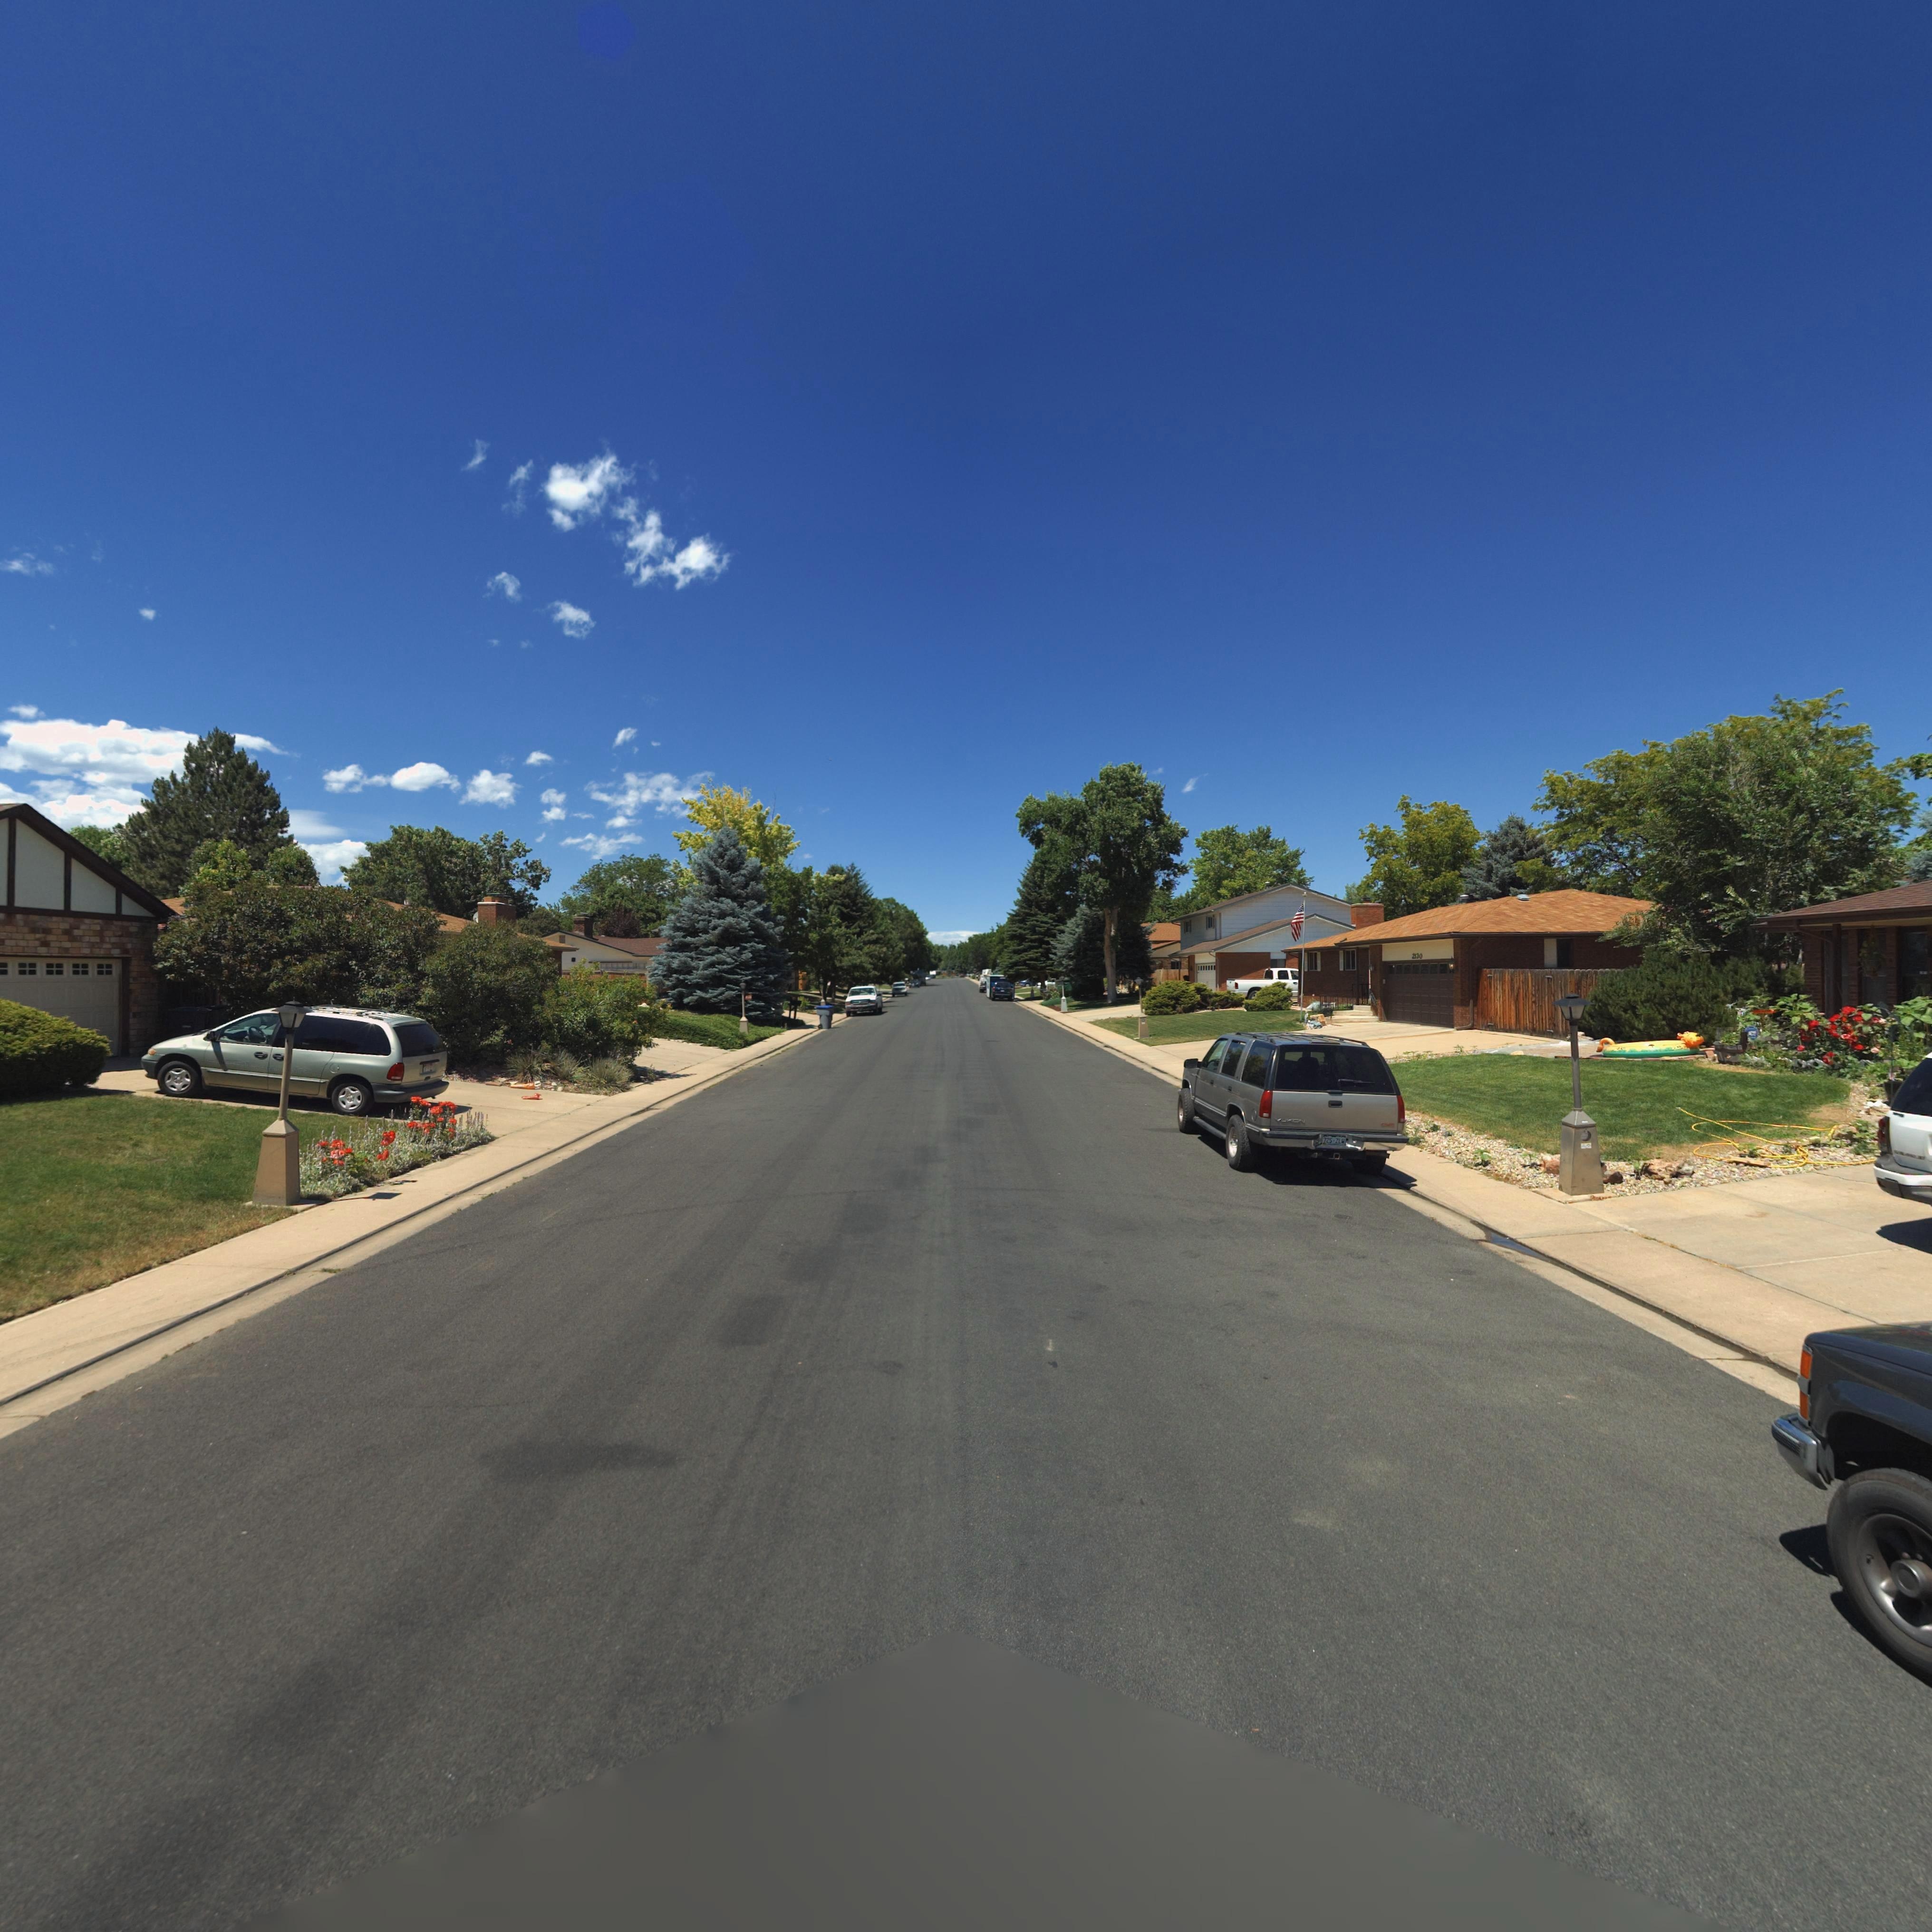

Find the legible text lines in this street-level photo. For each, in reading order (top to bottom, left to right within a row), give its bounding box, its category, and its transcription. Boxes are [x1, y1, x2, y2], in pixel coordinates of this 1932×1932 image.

[1411, 953, 1423, 959] StreetNumber: 2130